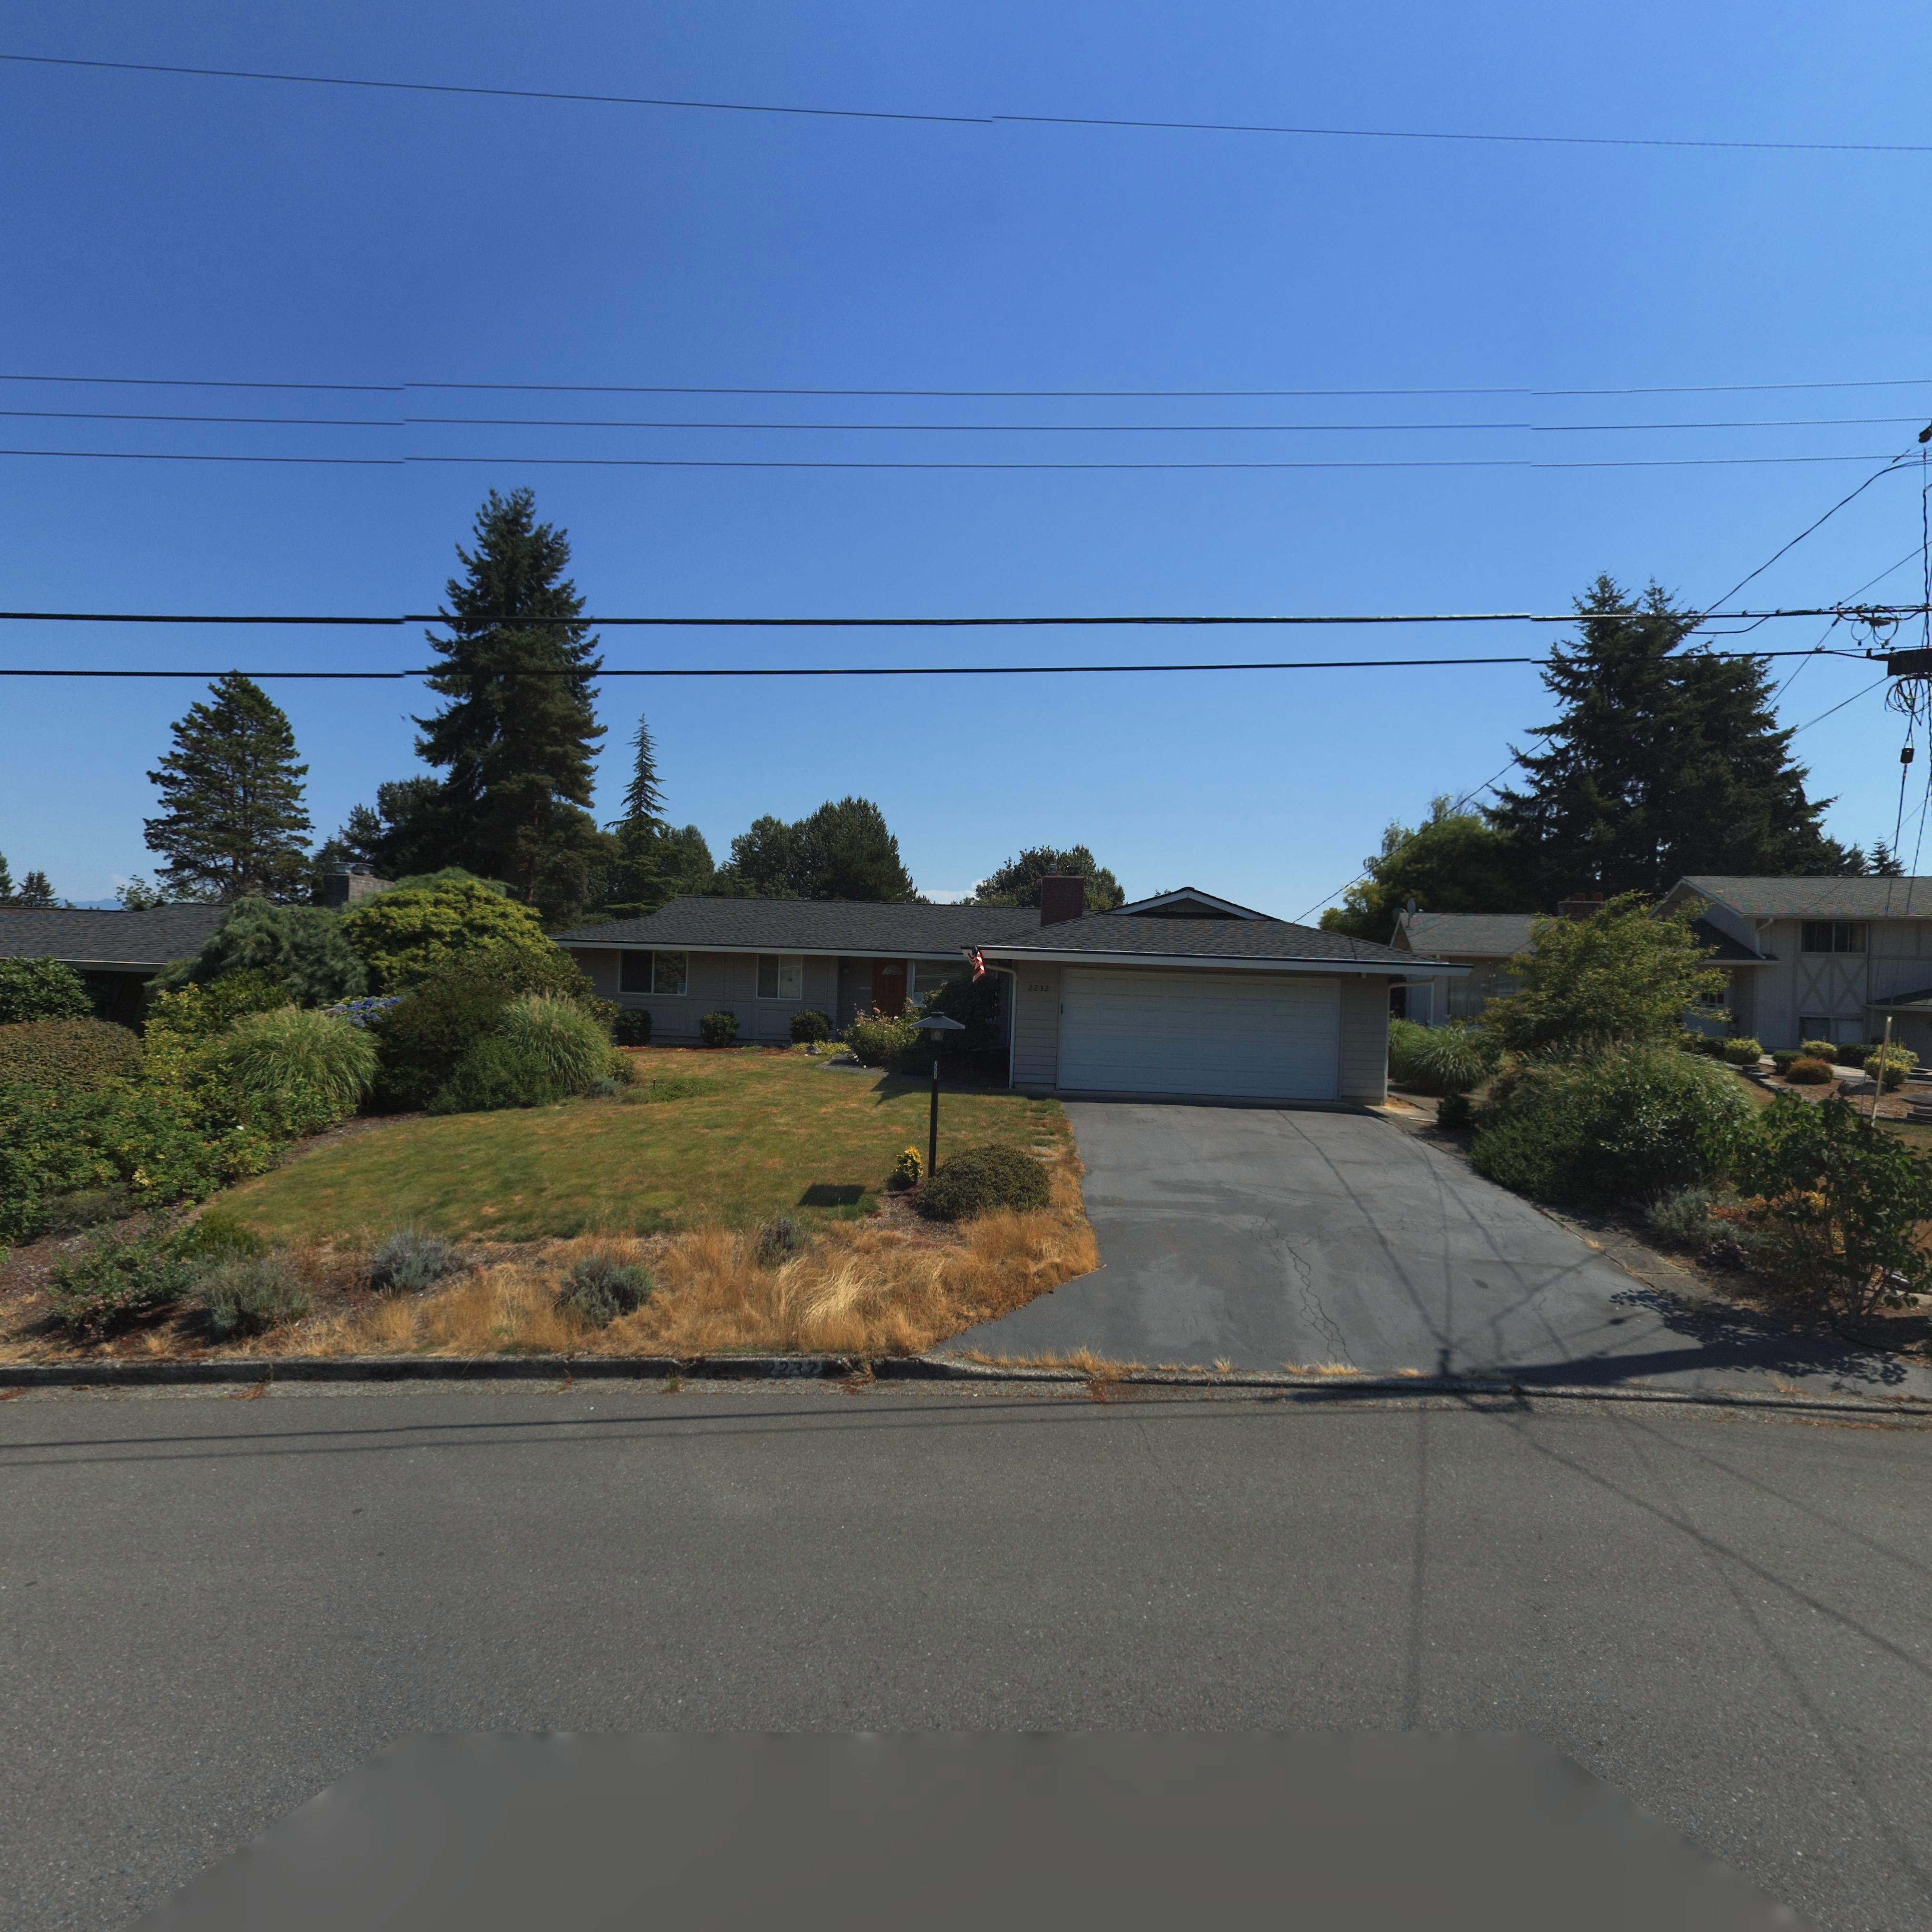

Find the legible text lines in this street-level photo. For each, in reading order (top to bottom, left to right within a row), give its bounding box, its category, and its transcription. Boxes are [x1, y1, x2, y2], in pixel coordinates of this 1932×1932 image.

[1027, 984, 1049, 991] StreetNumber: 2232